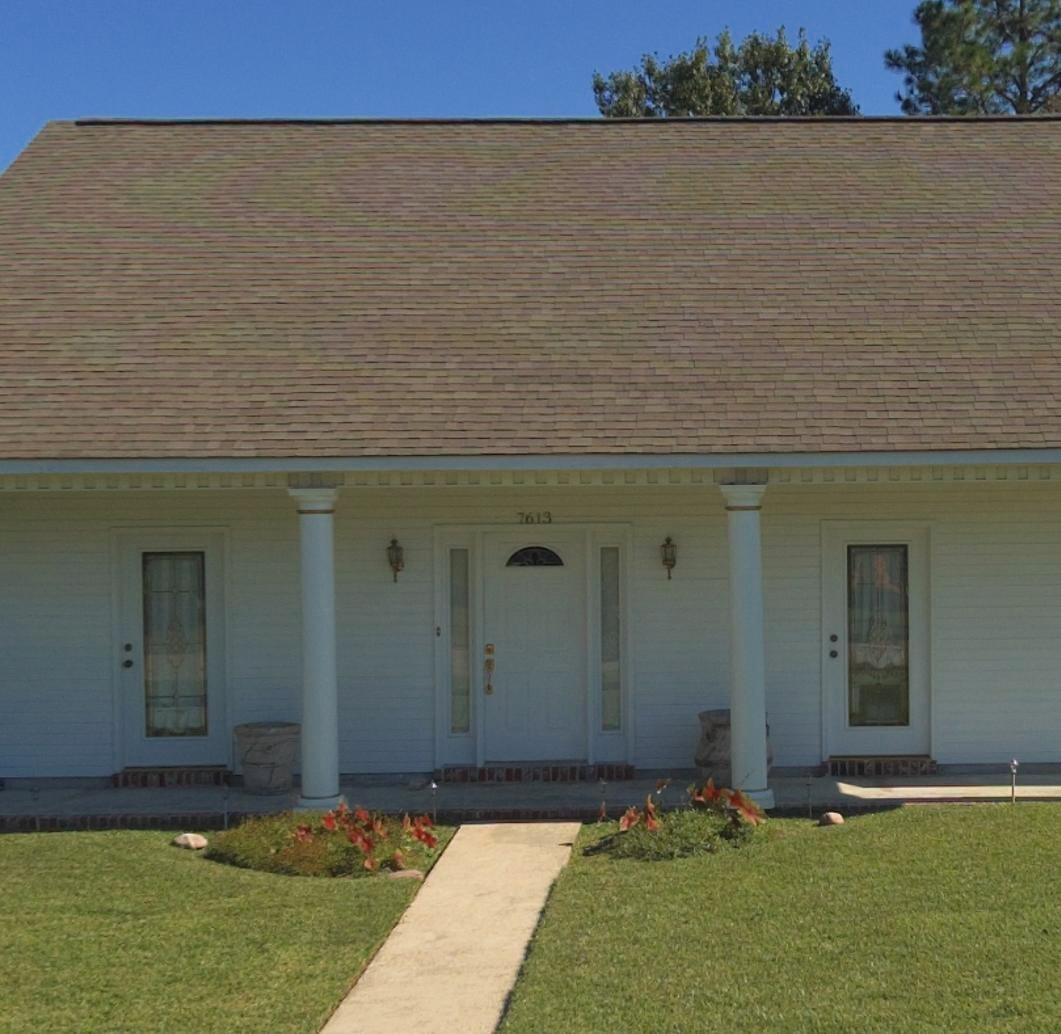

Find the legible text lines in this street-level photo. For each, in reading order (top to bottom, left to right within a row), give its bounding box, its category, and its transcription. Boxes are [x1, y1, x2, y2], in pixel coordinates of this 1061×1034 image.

[516, 511, 552, 524] StreetNumber: 7613